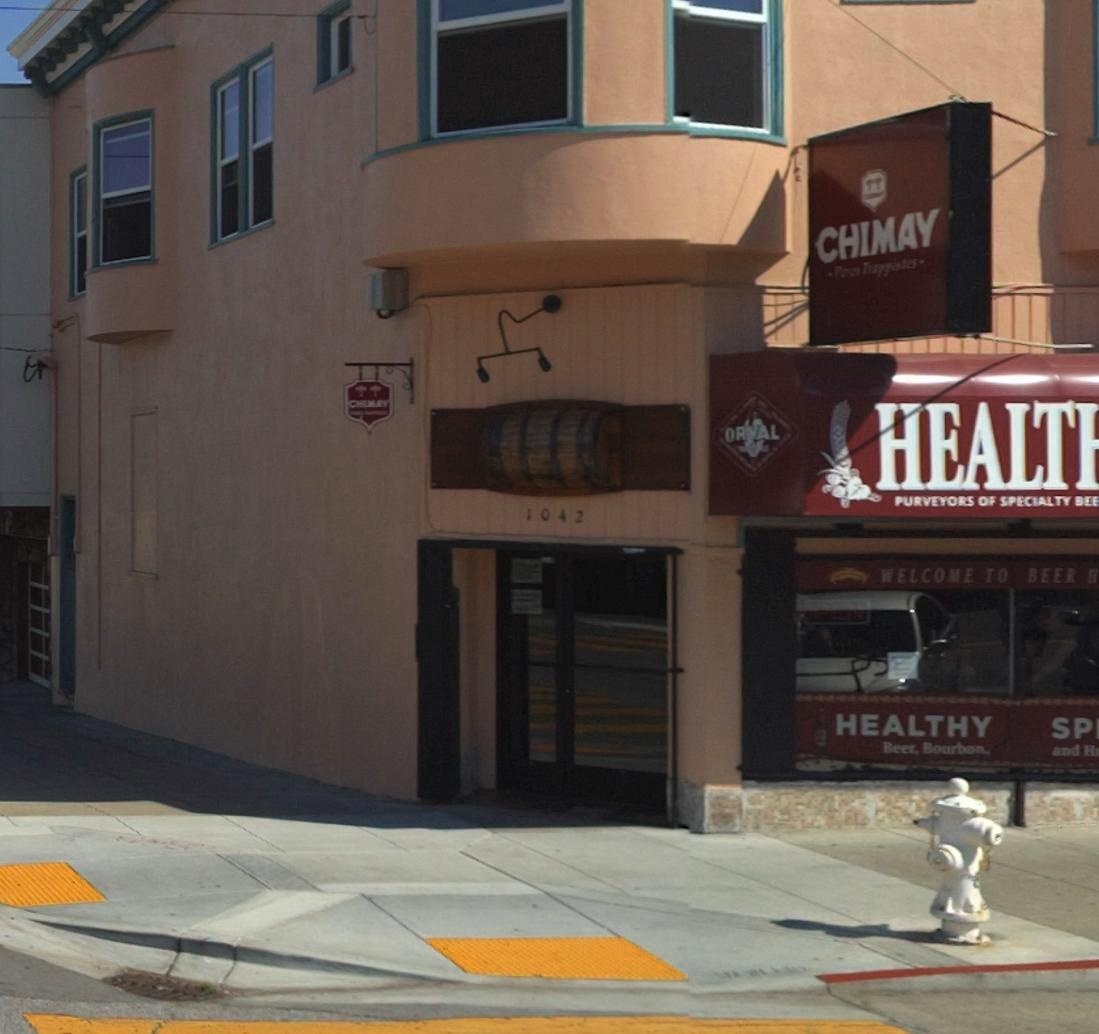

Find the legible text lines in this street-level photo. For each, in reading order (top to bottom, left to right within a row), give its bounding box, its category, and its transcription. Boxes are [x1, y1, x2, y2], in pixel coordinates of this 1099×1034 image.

[812, 206, 941, 268] BusinessName: CHIMAY
[723, 422, 781, 444] BusinessName: ORVAL
[872, 400, 1076, 492] BusinessName: HEALT
[893, 494, 1092, 508] None: PURVEYORS OF SPECIALTY BE
[523, 504, 586, 527] StreetNumber: 1042
[878, 565, 1077, 585] None: WELCOME TO BEER
[834, 712, 994, 740] None: HEALTHY
[1049, 714, 1092, 741] None: SP
[881, 740, 992, 756] None: Beer, Bourbon.
[1051, 743, 1095, 758] None: and H